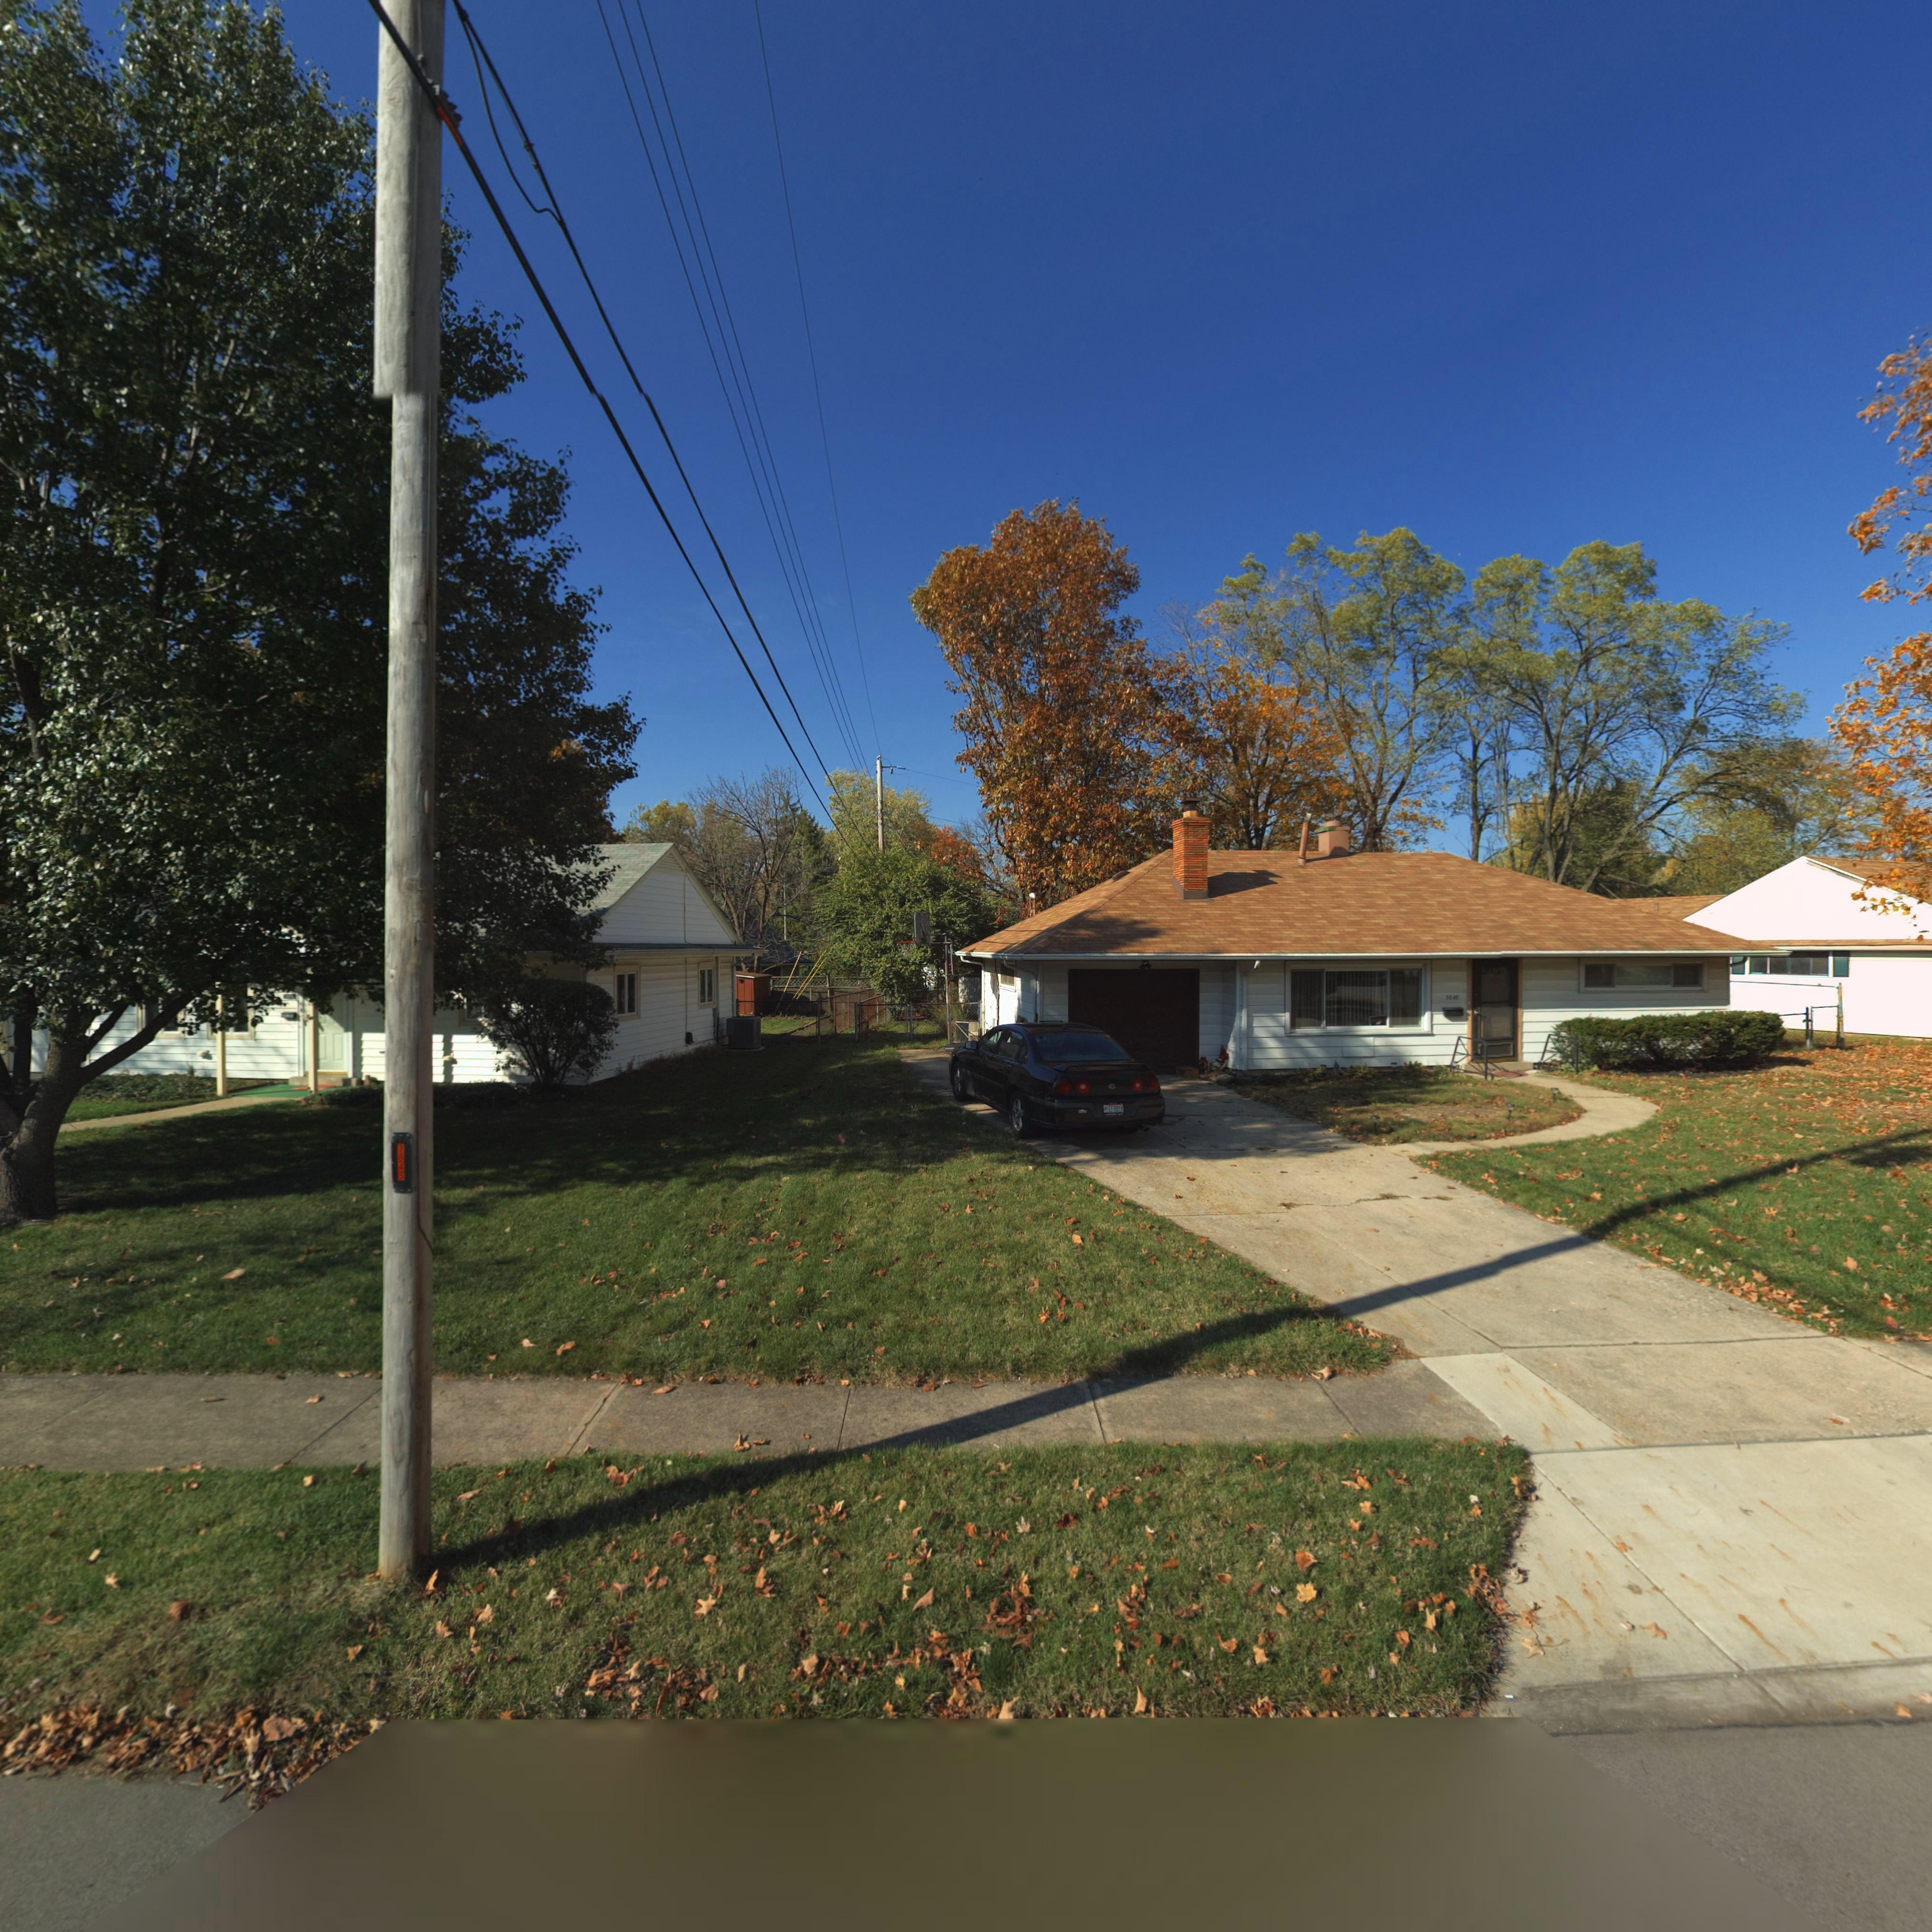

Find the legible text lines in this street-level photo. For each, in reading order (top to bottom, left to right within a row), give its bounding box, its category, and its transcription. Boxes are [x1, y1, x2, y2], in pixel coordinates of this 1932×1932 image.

[397, 1144, 405, 1180] None: 3845